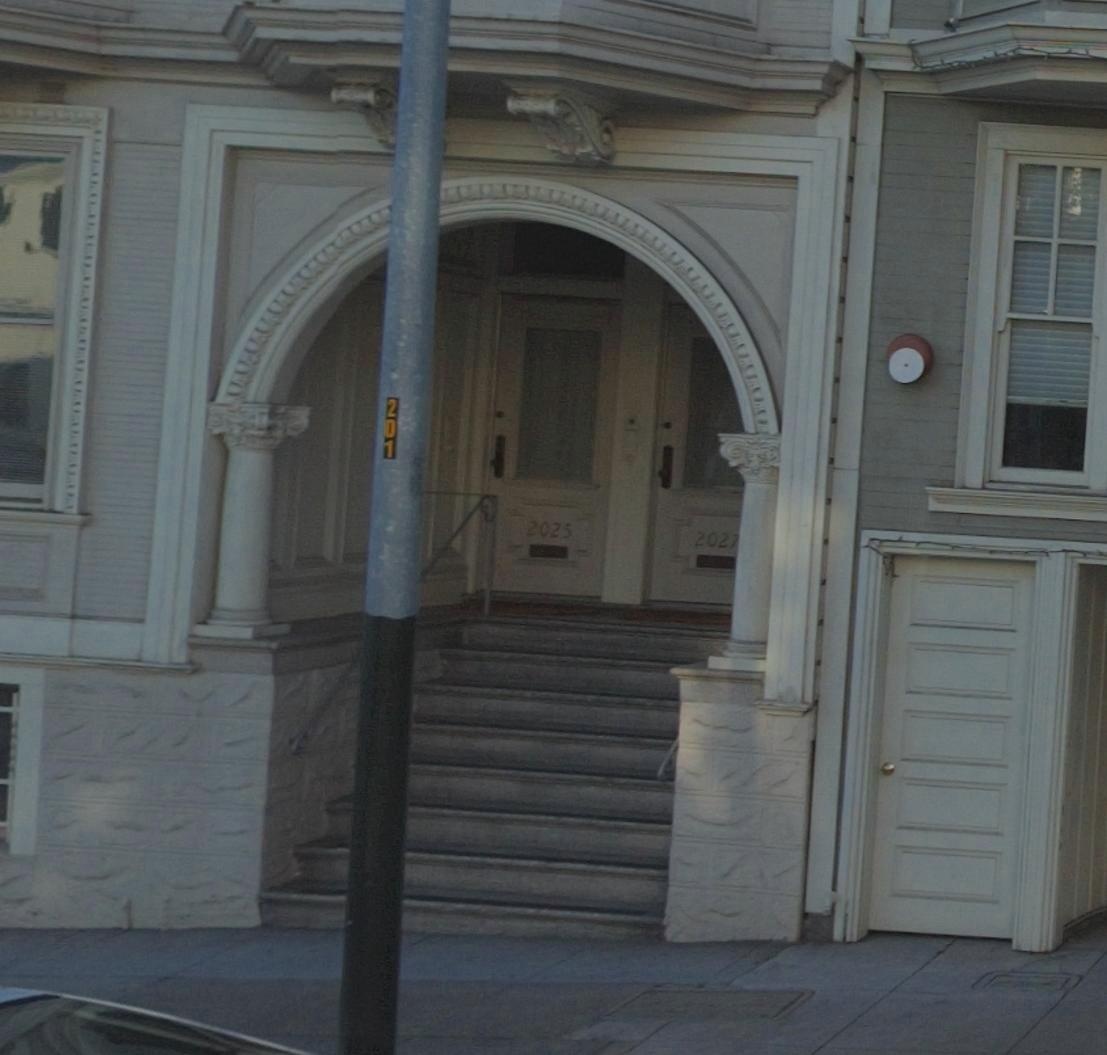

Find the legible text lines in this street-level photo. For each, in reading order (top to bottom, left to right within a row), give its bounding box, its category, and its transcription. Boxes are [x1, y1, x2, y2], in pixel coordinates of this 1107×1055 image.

[381, 396, 401, 461] None: 201
[523, 518, 576, 541] StreetNumber: 2025
[691, 527, 742, 551] StreetNumber: 2027